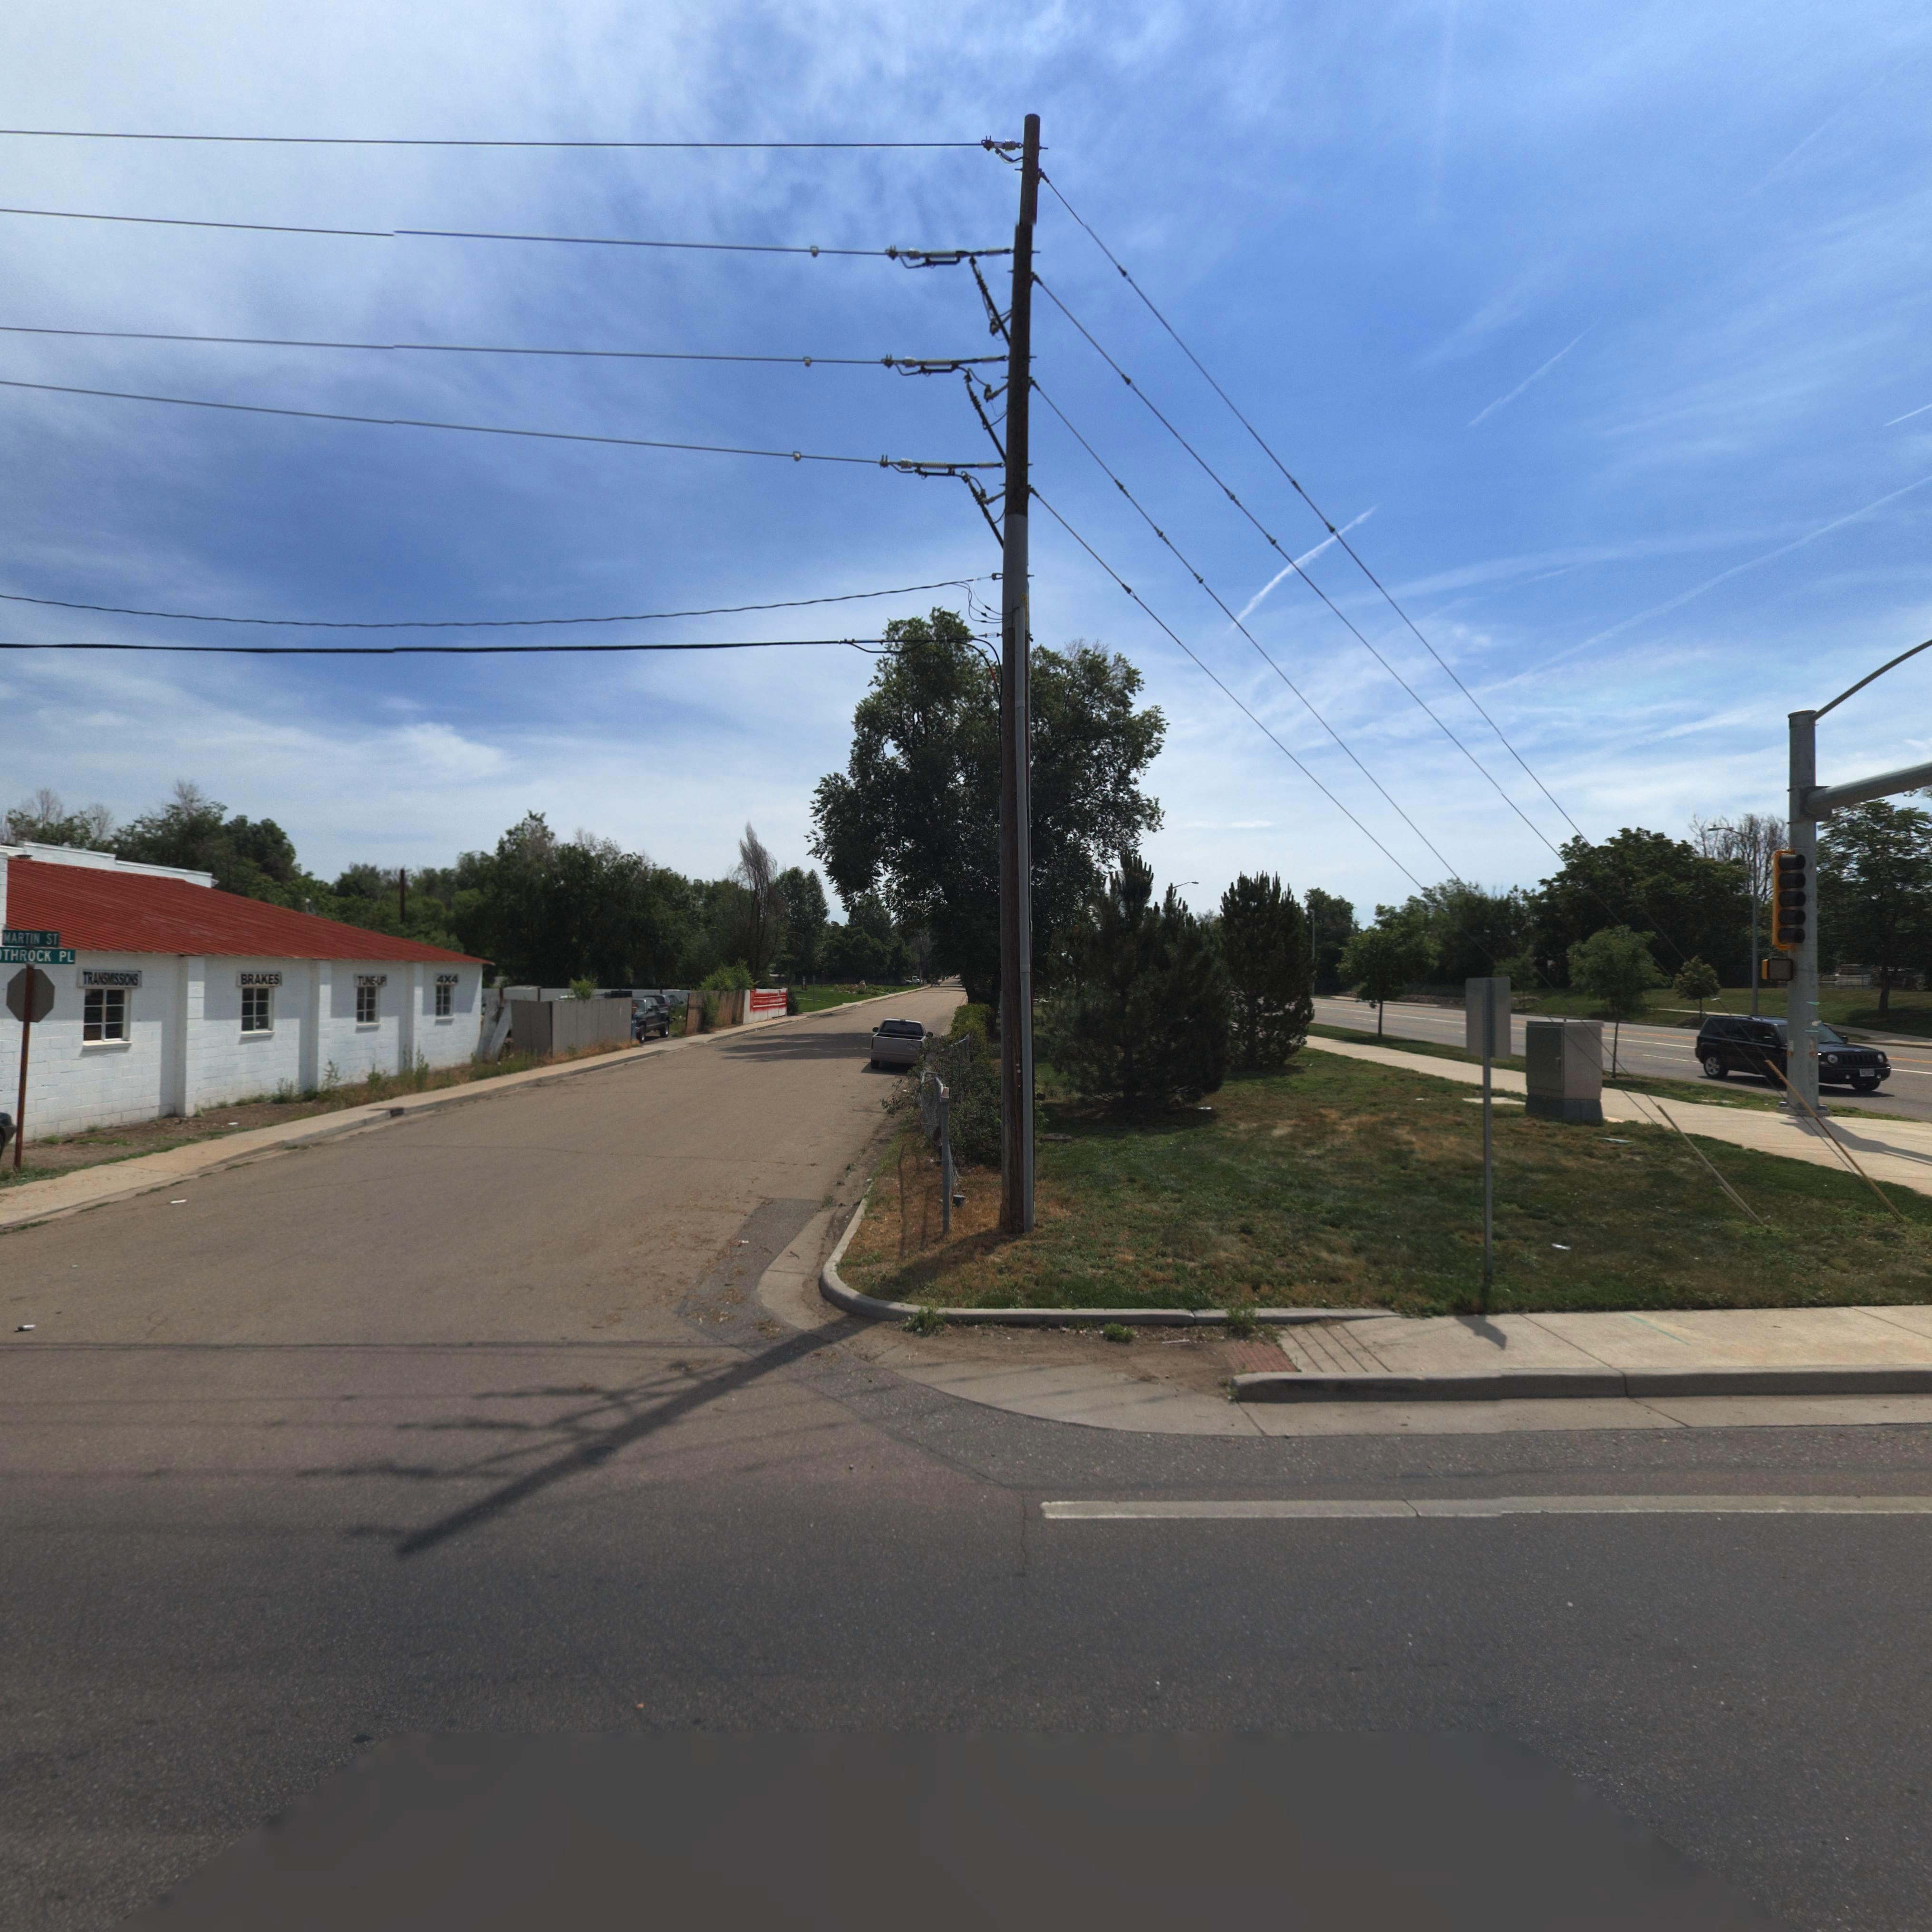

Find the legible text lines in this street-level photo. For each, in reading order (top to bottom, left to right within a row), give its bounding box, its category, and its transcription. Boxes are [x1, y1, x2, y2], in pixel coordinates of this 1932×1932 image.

[3, 931, 58, 945] StreetName: MARTIN ST
[2, 948, 75, 963] StreetName: THROCK PL